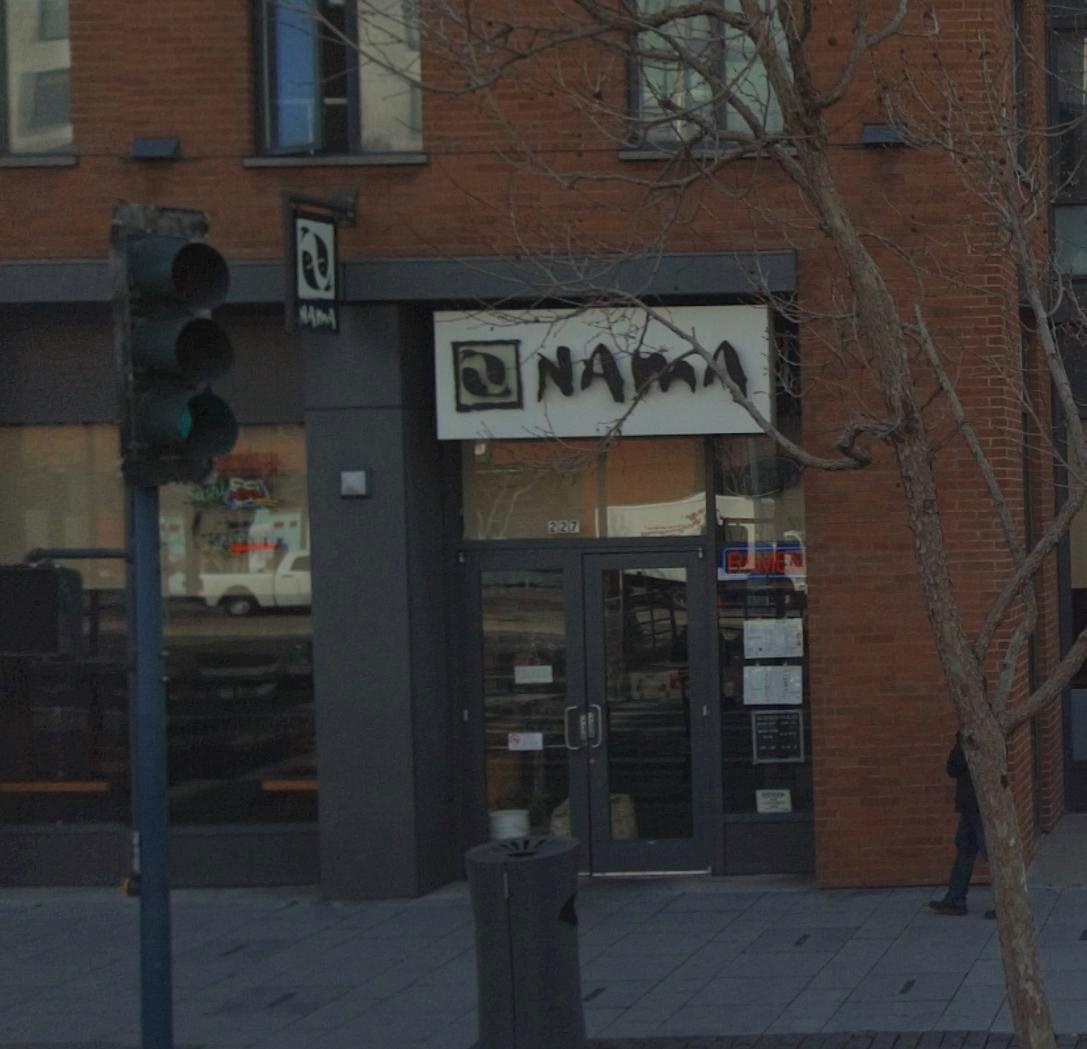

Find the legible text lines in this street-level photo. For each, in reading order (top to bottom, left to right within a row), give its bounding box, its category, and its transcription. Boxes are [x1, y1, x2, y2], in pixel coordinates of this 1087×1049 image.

[533, 339, 630, 406] BusinessName: NA
[547, 518, 580, 535] StreetNumber: 227
[724, 550, 778, 577] None: **M